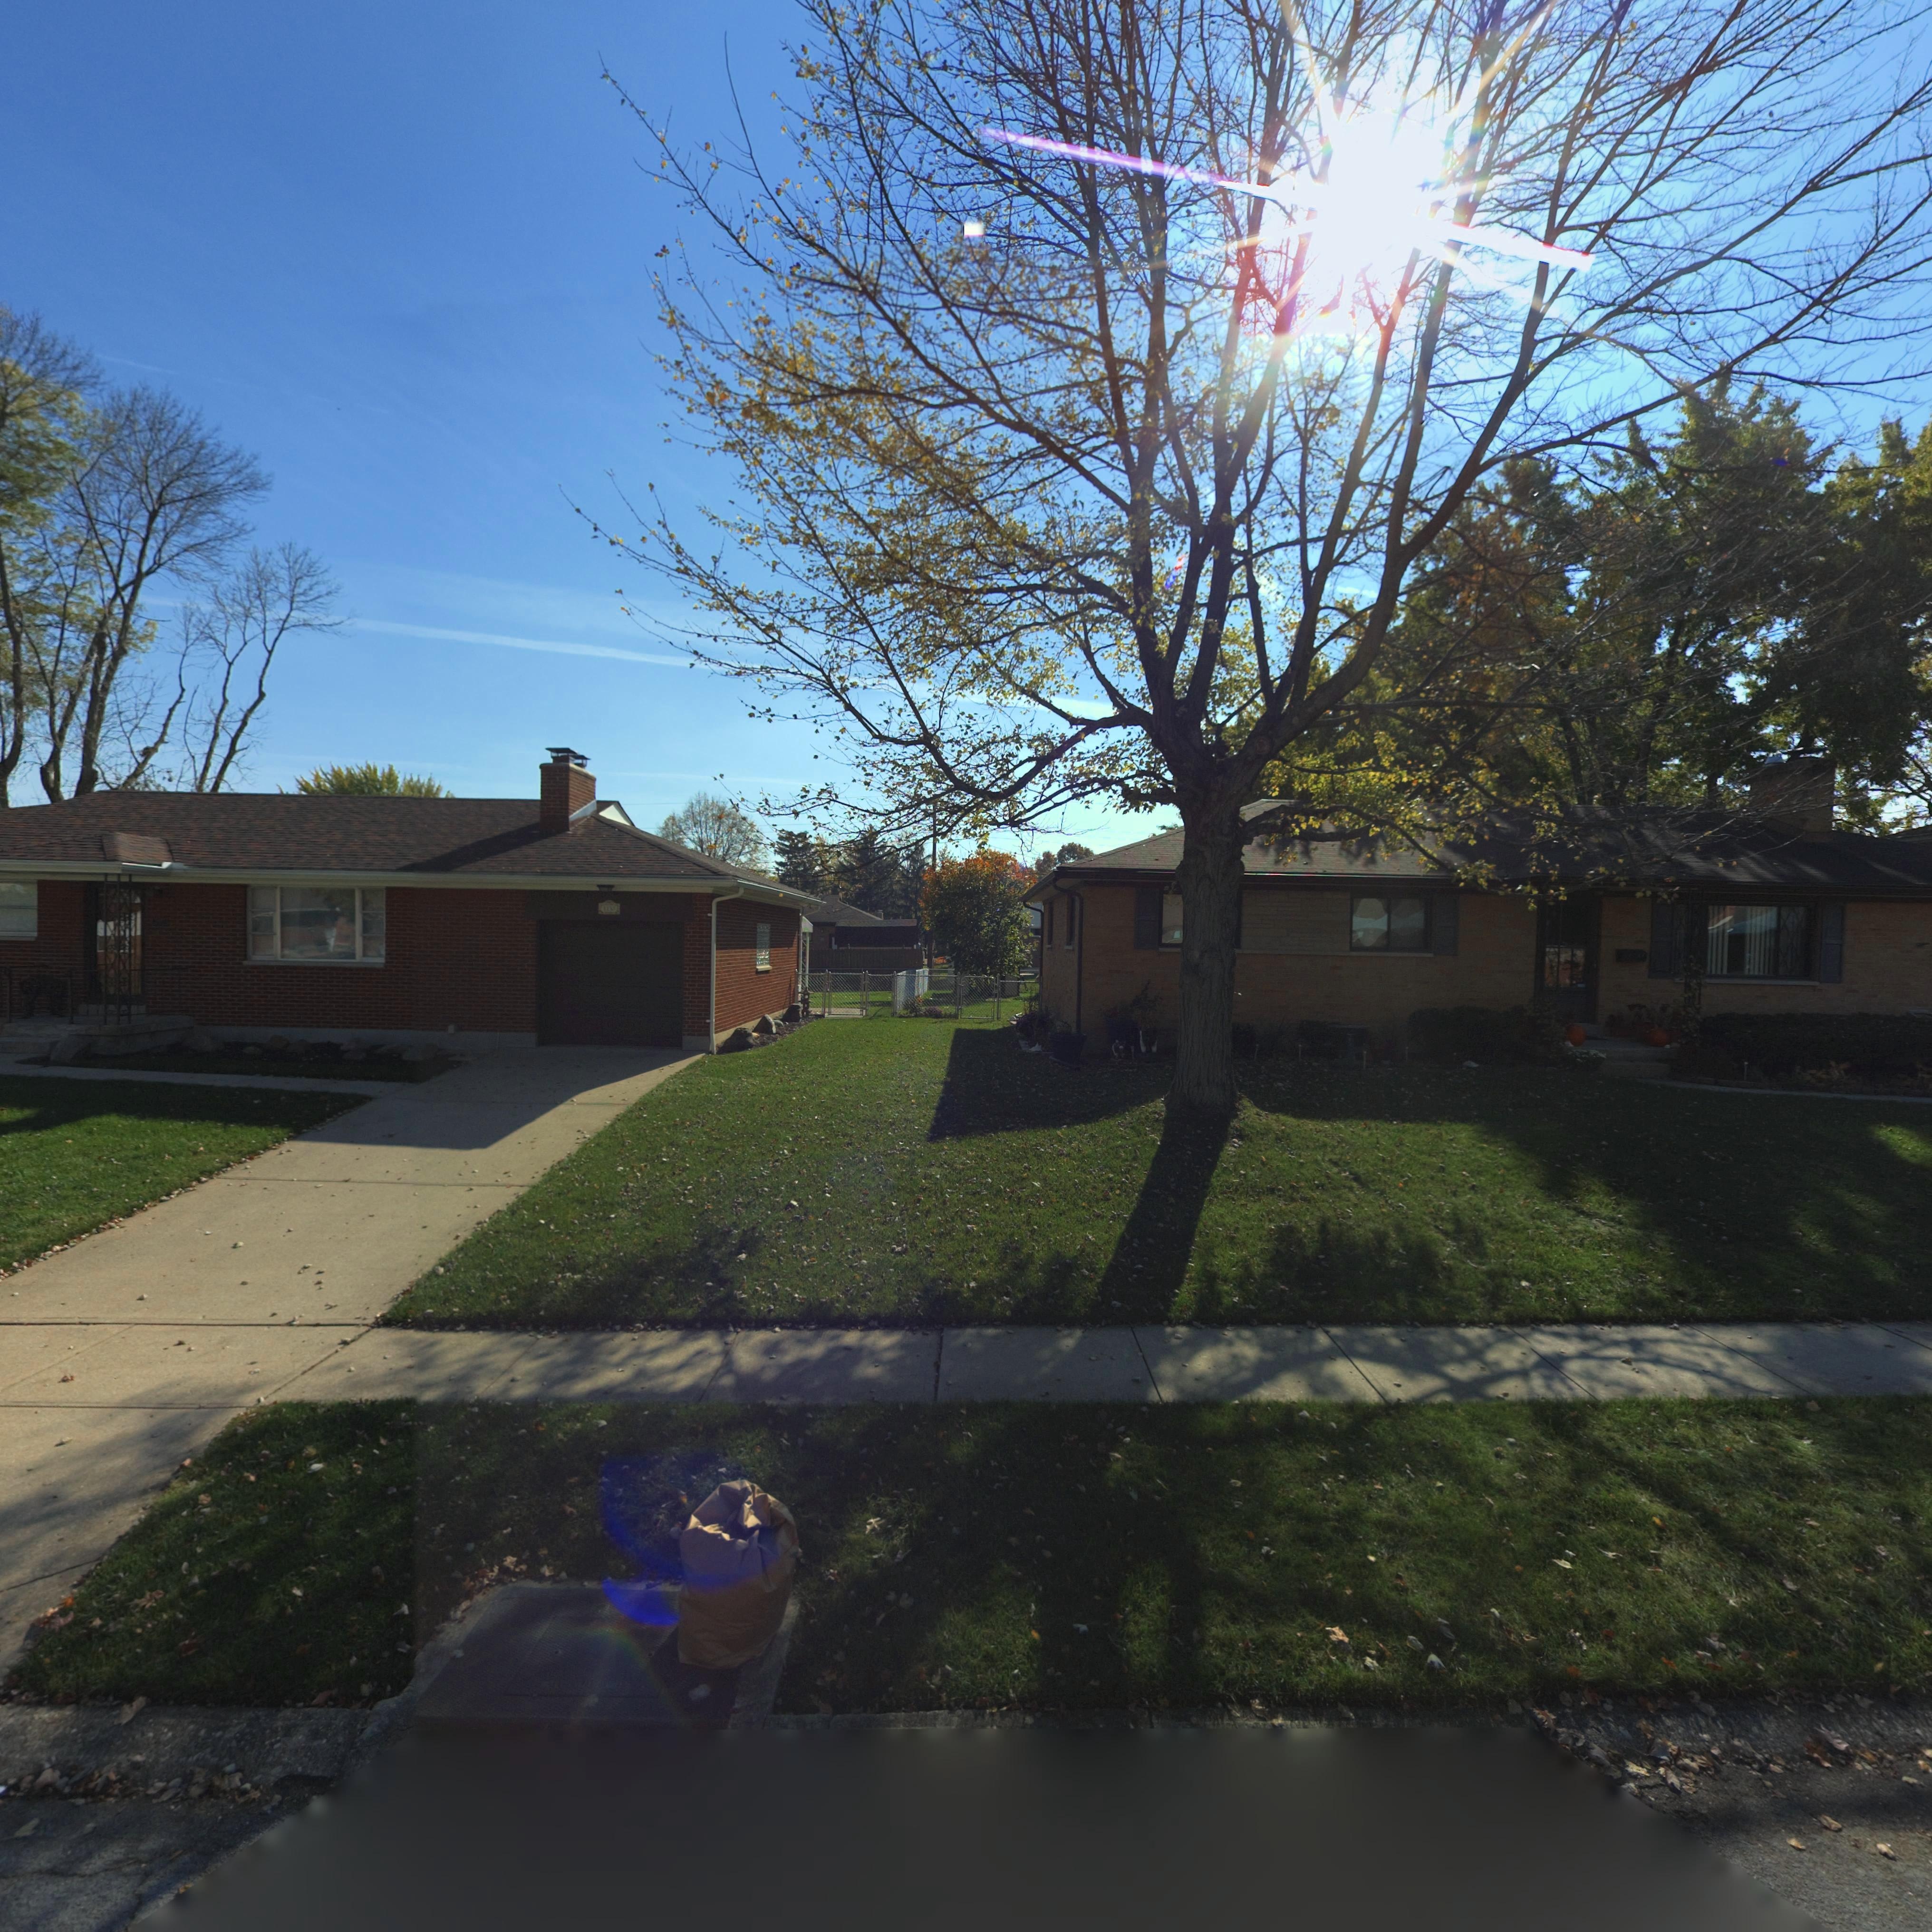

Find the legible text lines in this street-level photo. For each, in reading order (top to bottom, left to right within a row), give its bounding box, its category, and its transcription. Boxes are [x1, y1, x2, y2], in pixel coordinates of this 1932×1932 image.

[602, 905, 617, 913] StreetNumber: 11**